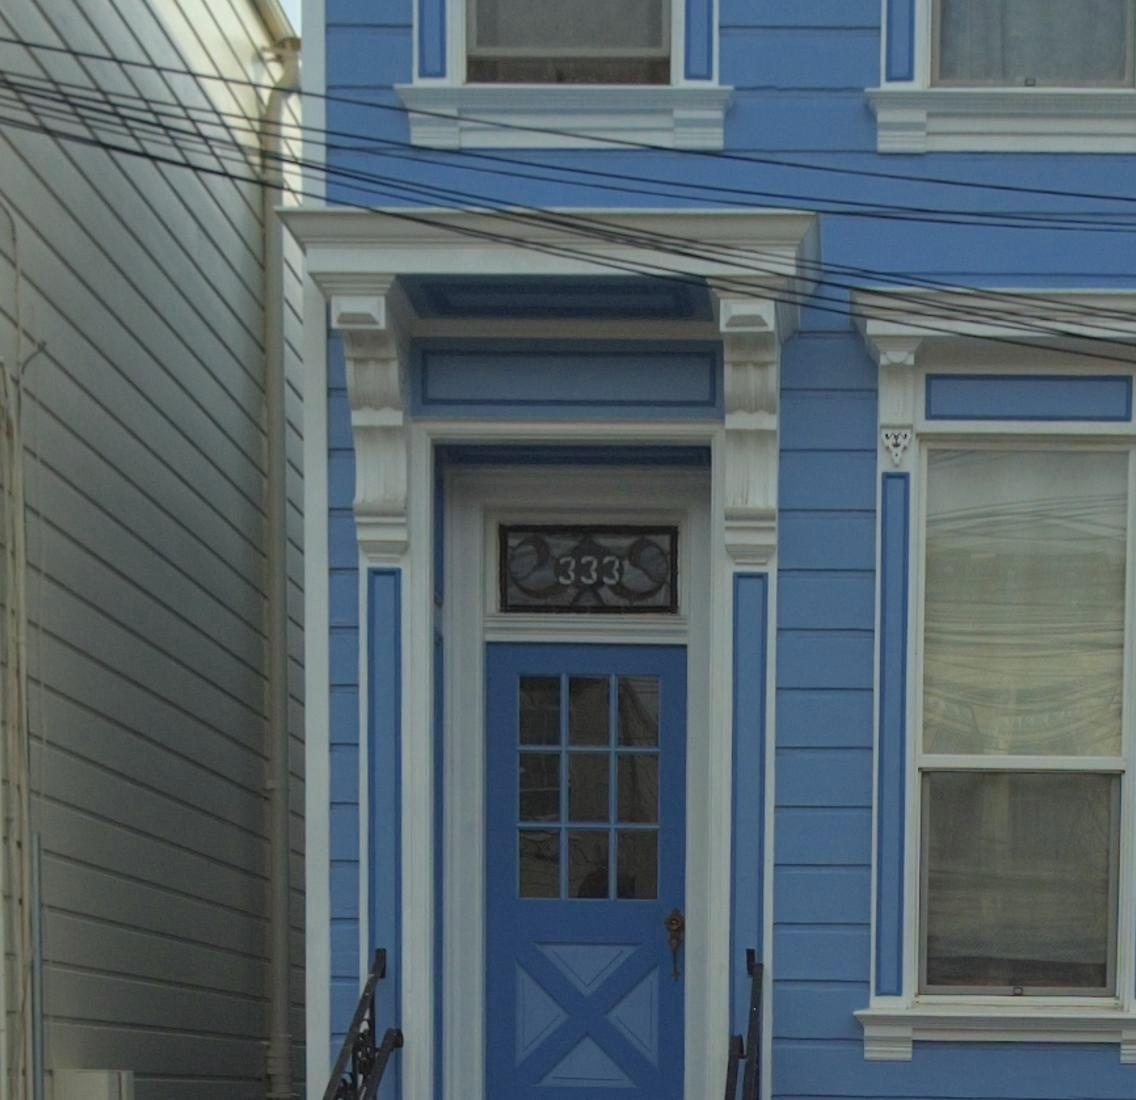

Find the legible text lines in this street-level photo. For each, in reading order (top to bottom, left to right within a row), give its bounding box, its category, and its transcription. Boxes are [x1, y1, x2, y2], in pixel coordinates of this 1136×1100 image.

[558, 555, 621, 586] StreetNumber: 333